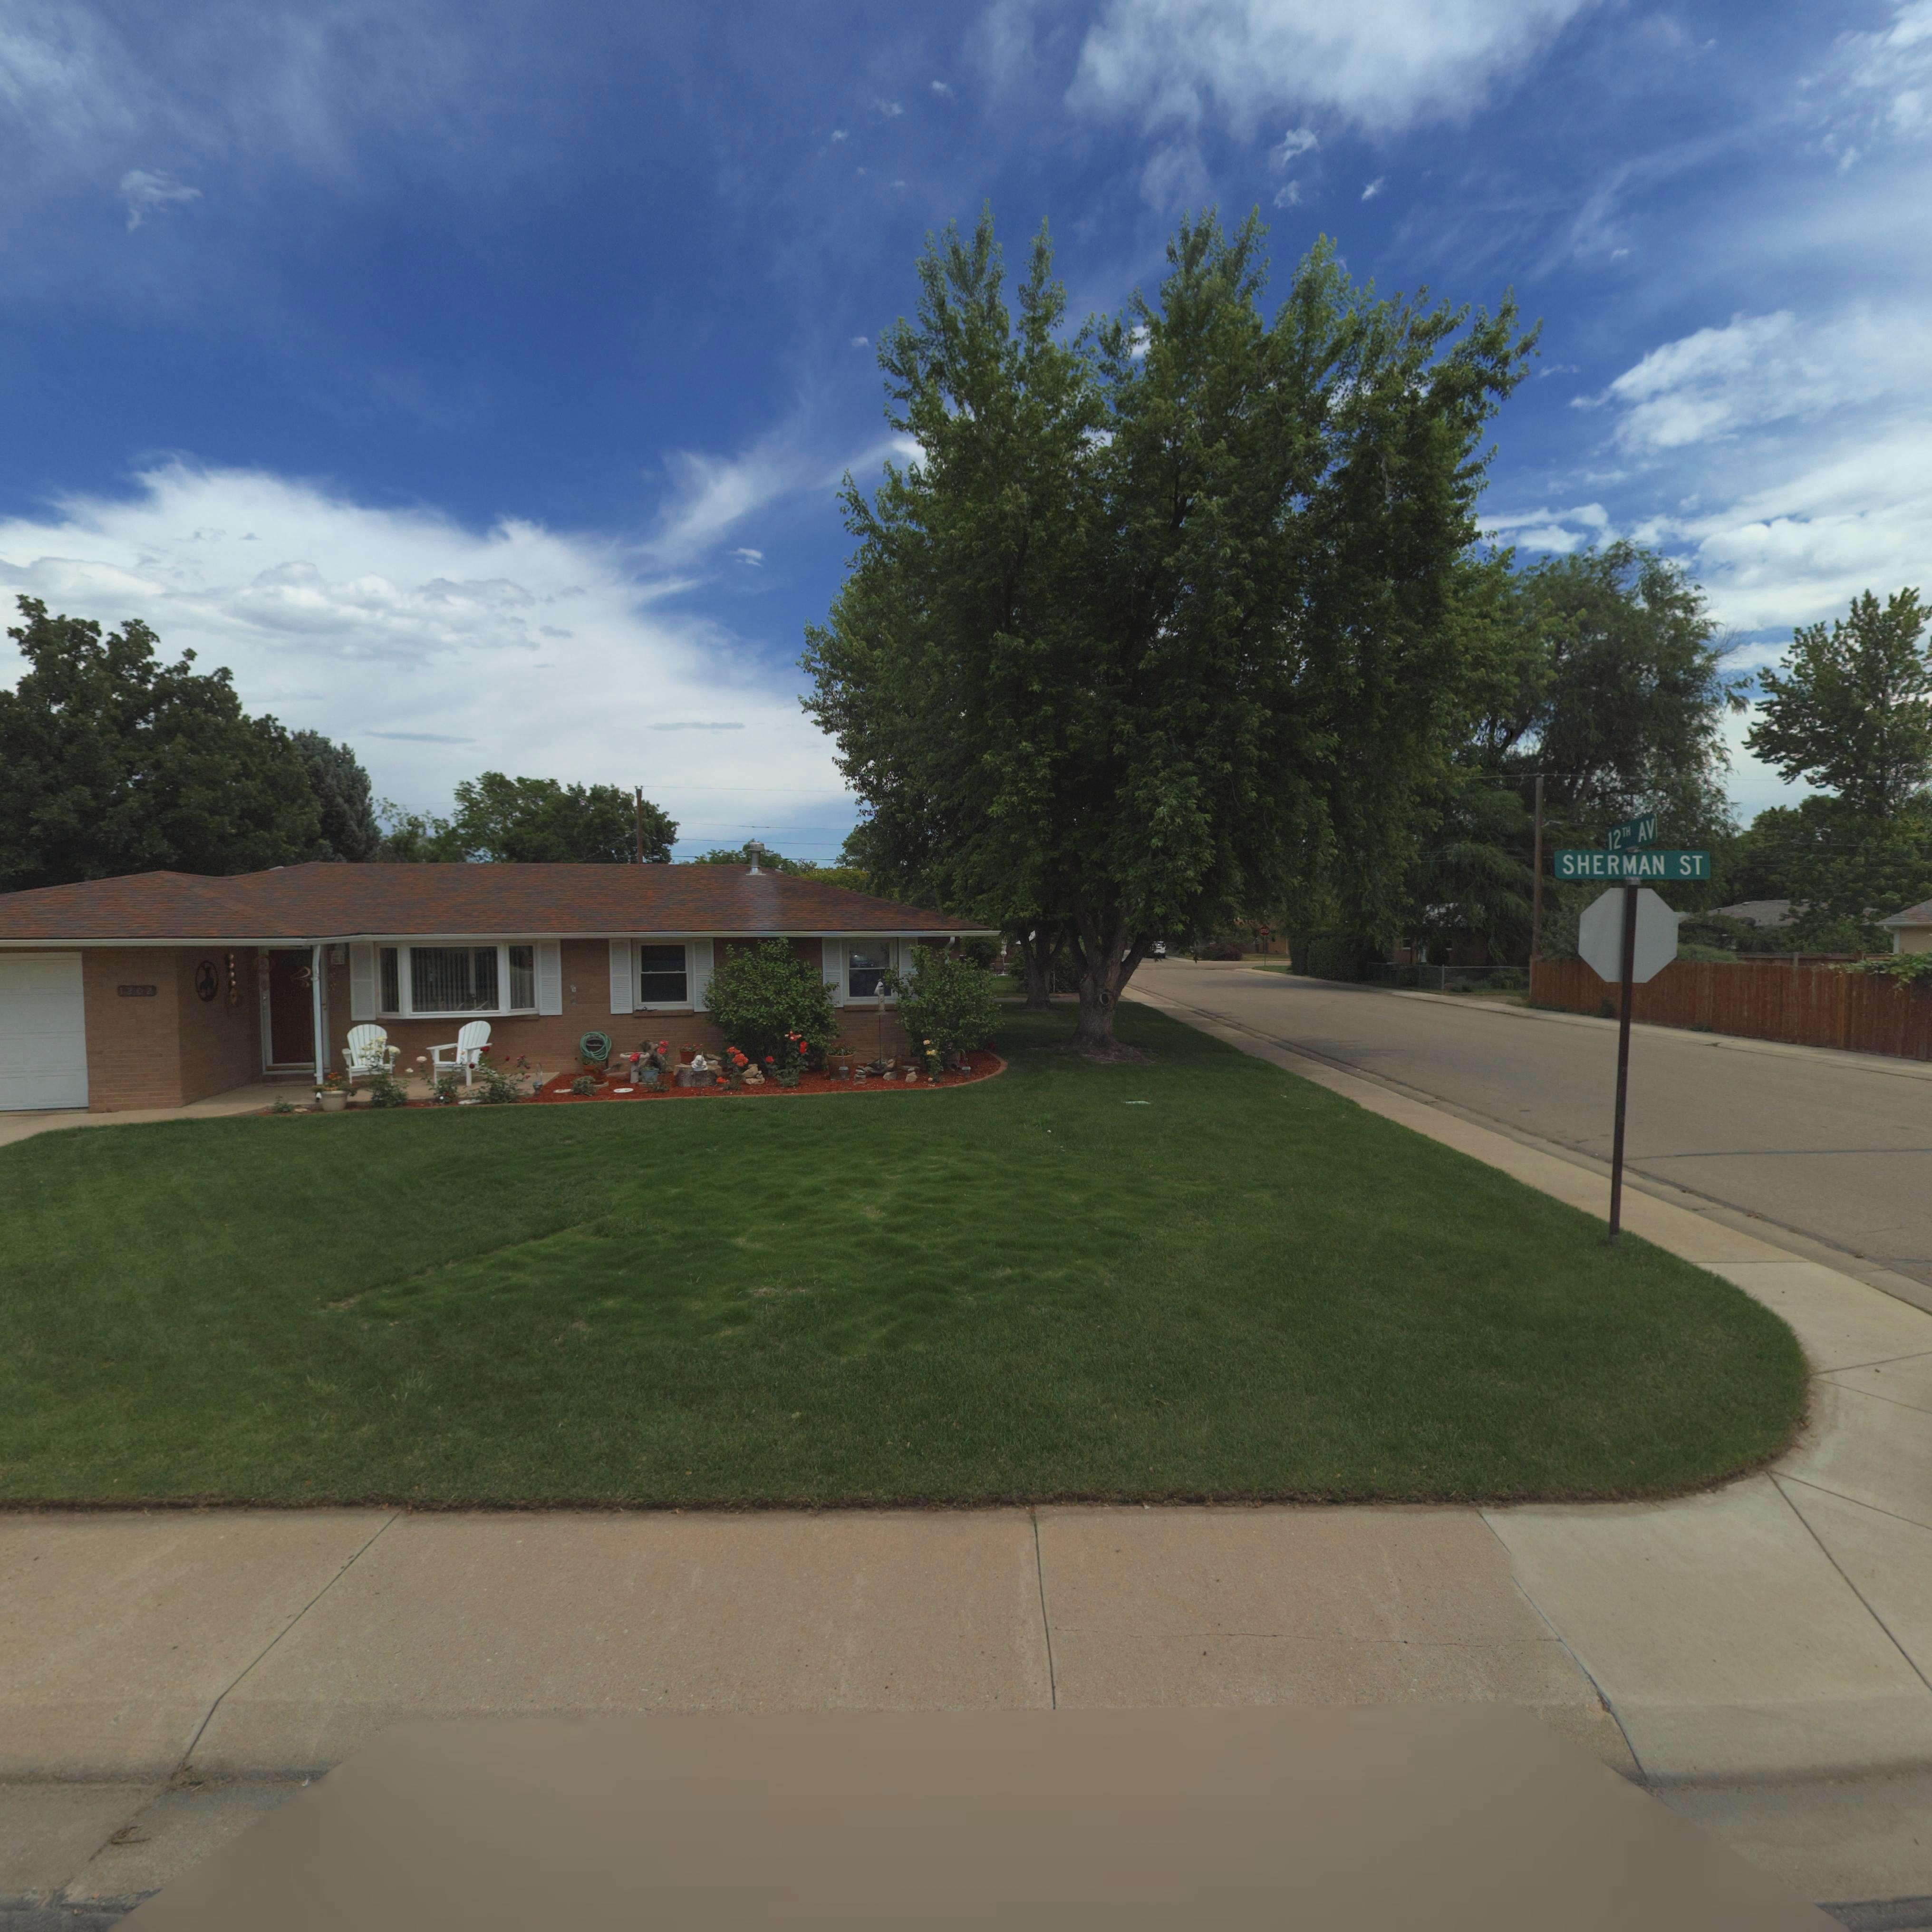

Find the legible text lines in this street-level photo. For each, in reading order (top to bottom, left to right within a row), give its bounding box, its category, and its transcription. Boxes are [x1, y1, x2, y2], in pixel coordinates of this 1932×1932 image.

[1607, 817, 1655, 850] StreetName: 12TH AV
[1562, 854, 1703, 875] StreetName: SHERMAN ST
[119, 987, 154, 995] StreetNumber: 1202